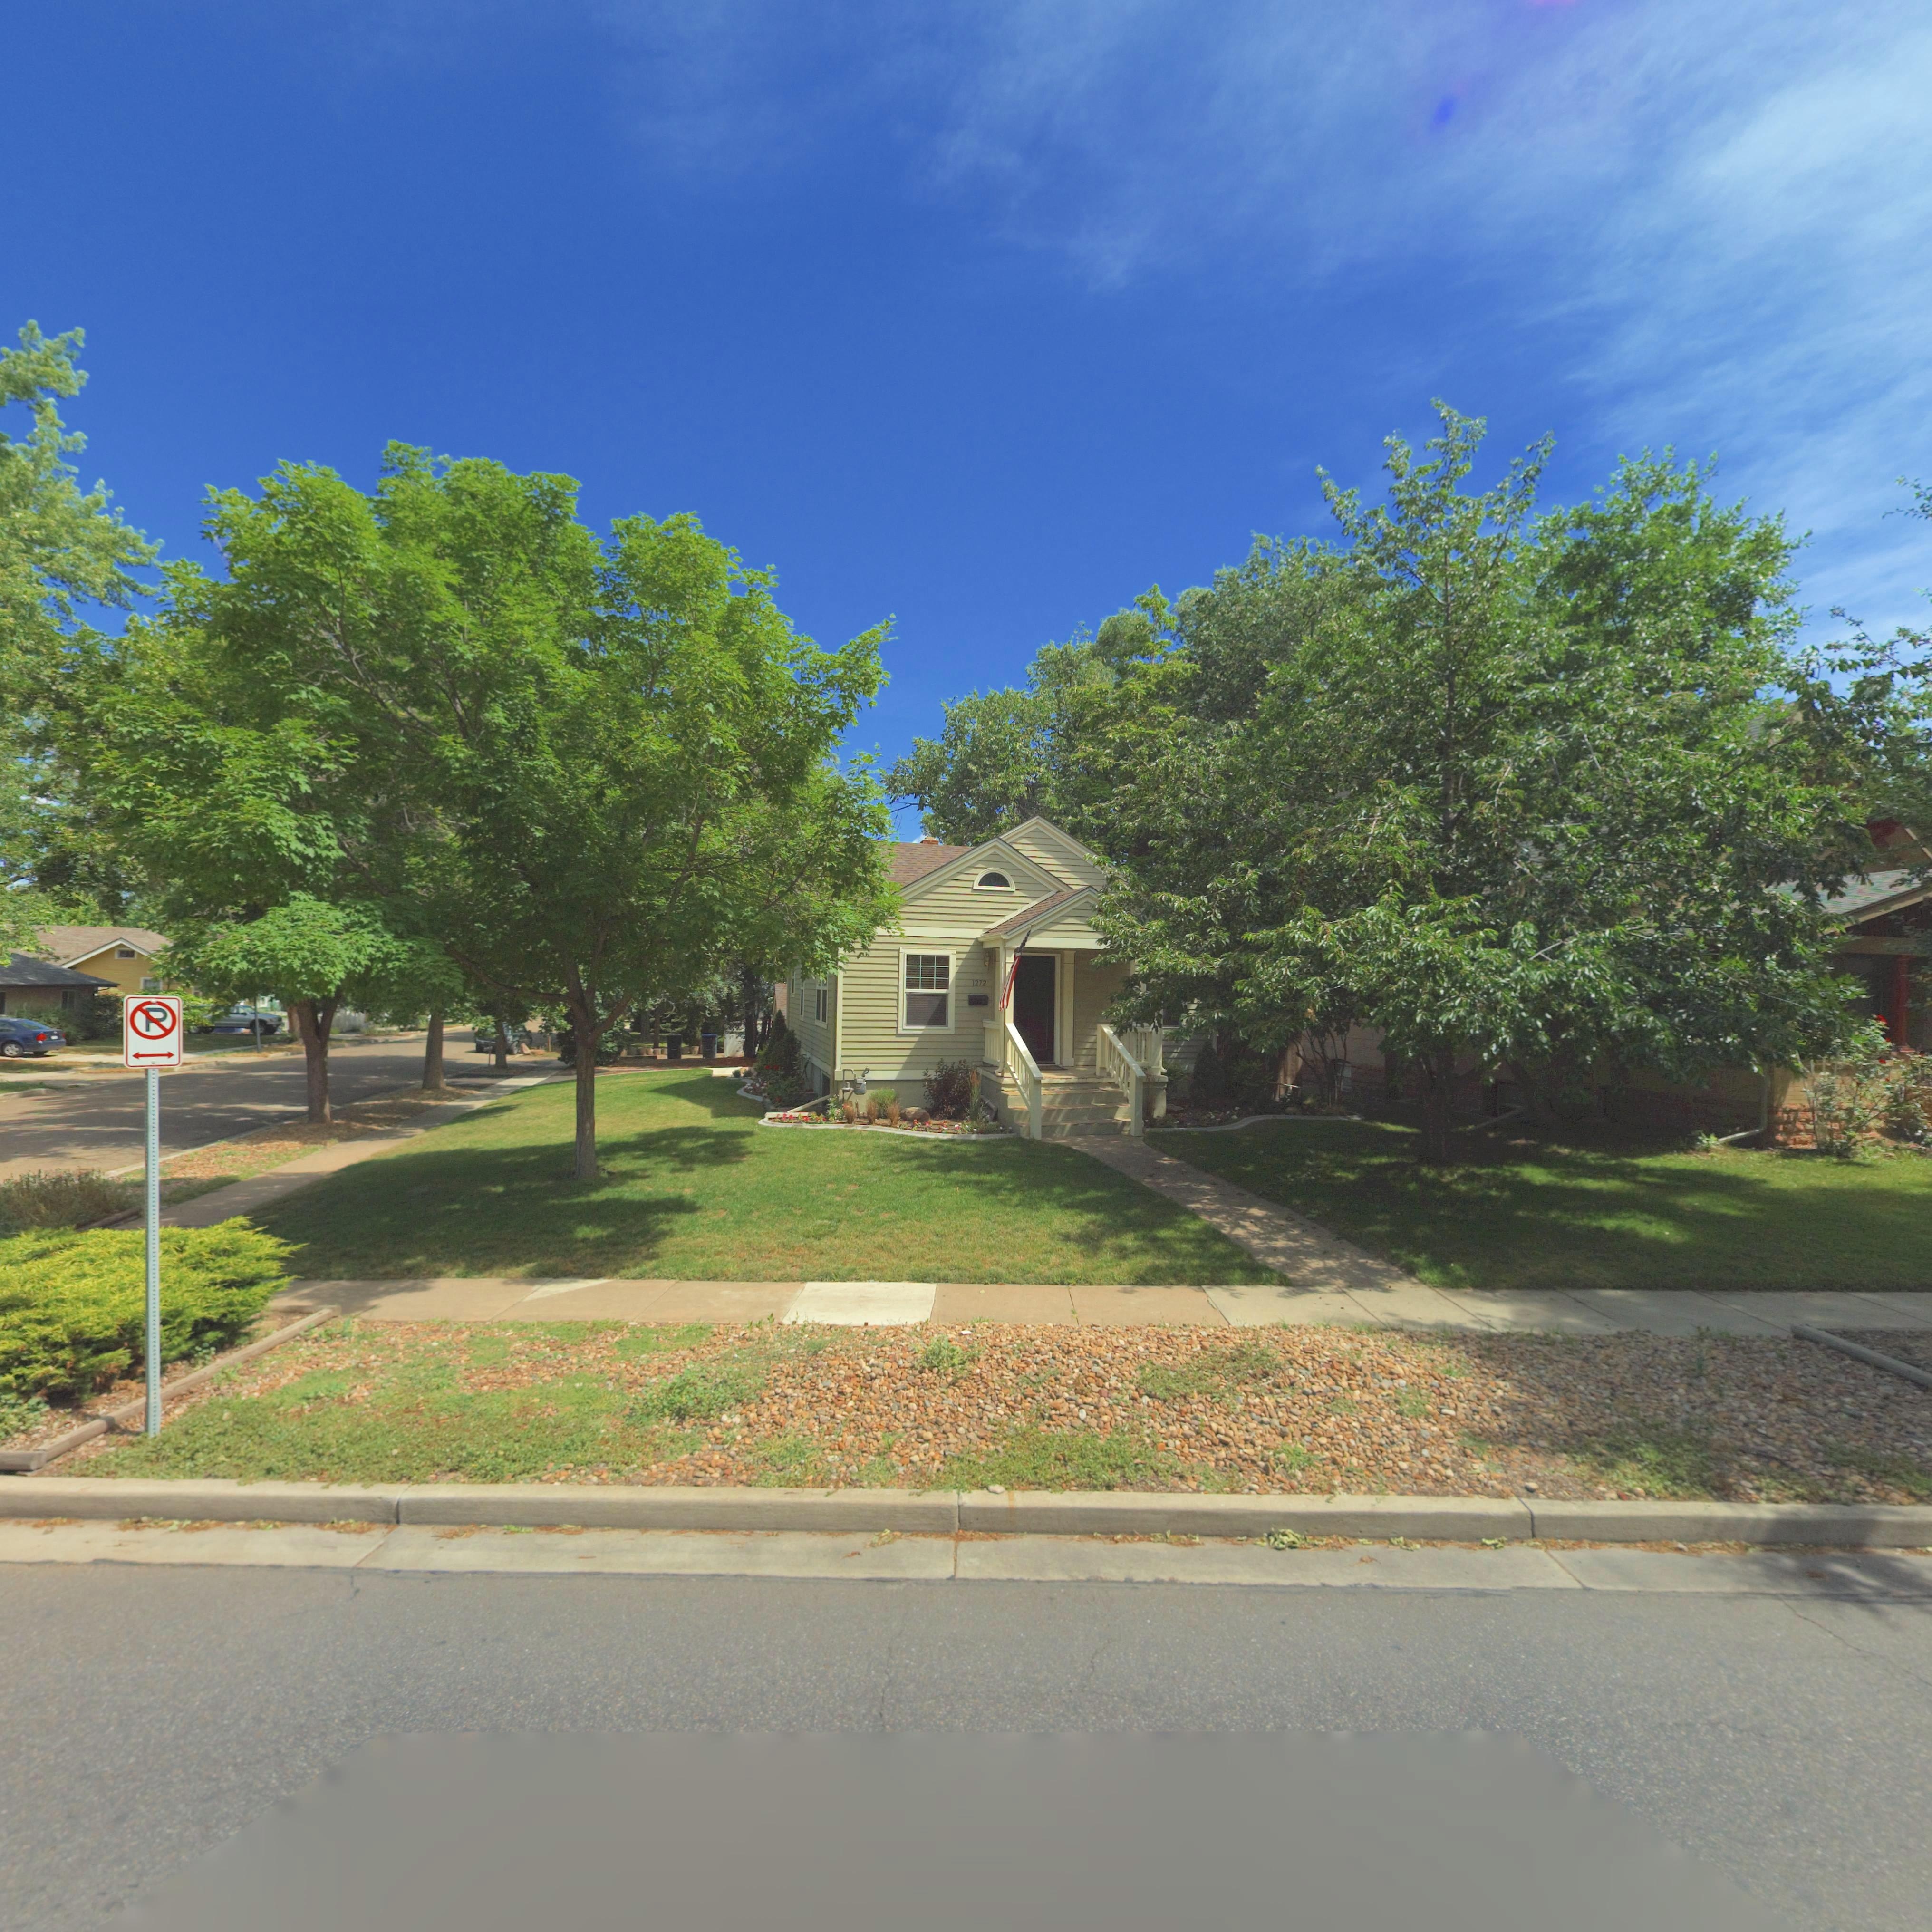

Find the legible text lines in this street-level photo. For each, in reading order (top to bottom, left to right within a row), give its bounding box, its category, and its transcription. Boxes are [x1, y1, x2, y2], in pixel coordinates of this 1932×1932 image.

[972, 979, 986, 986] StreetNumber: 1272